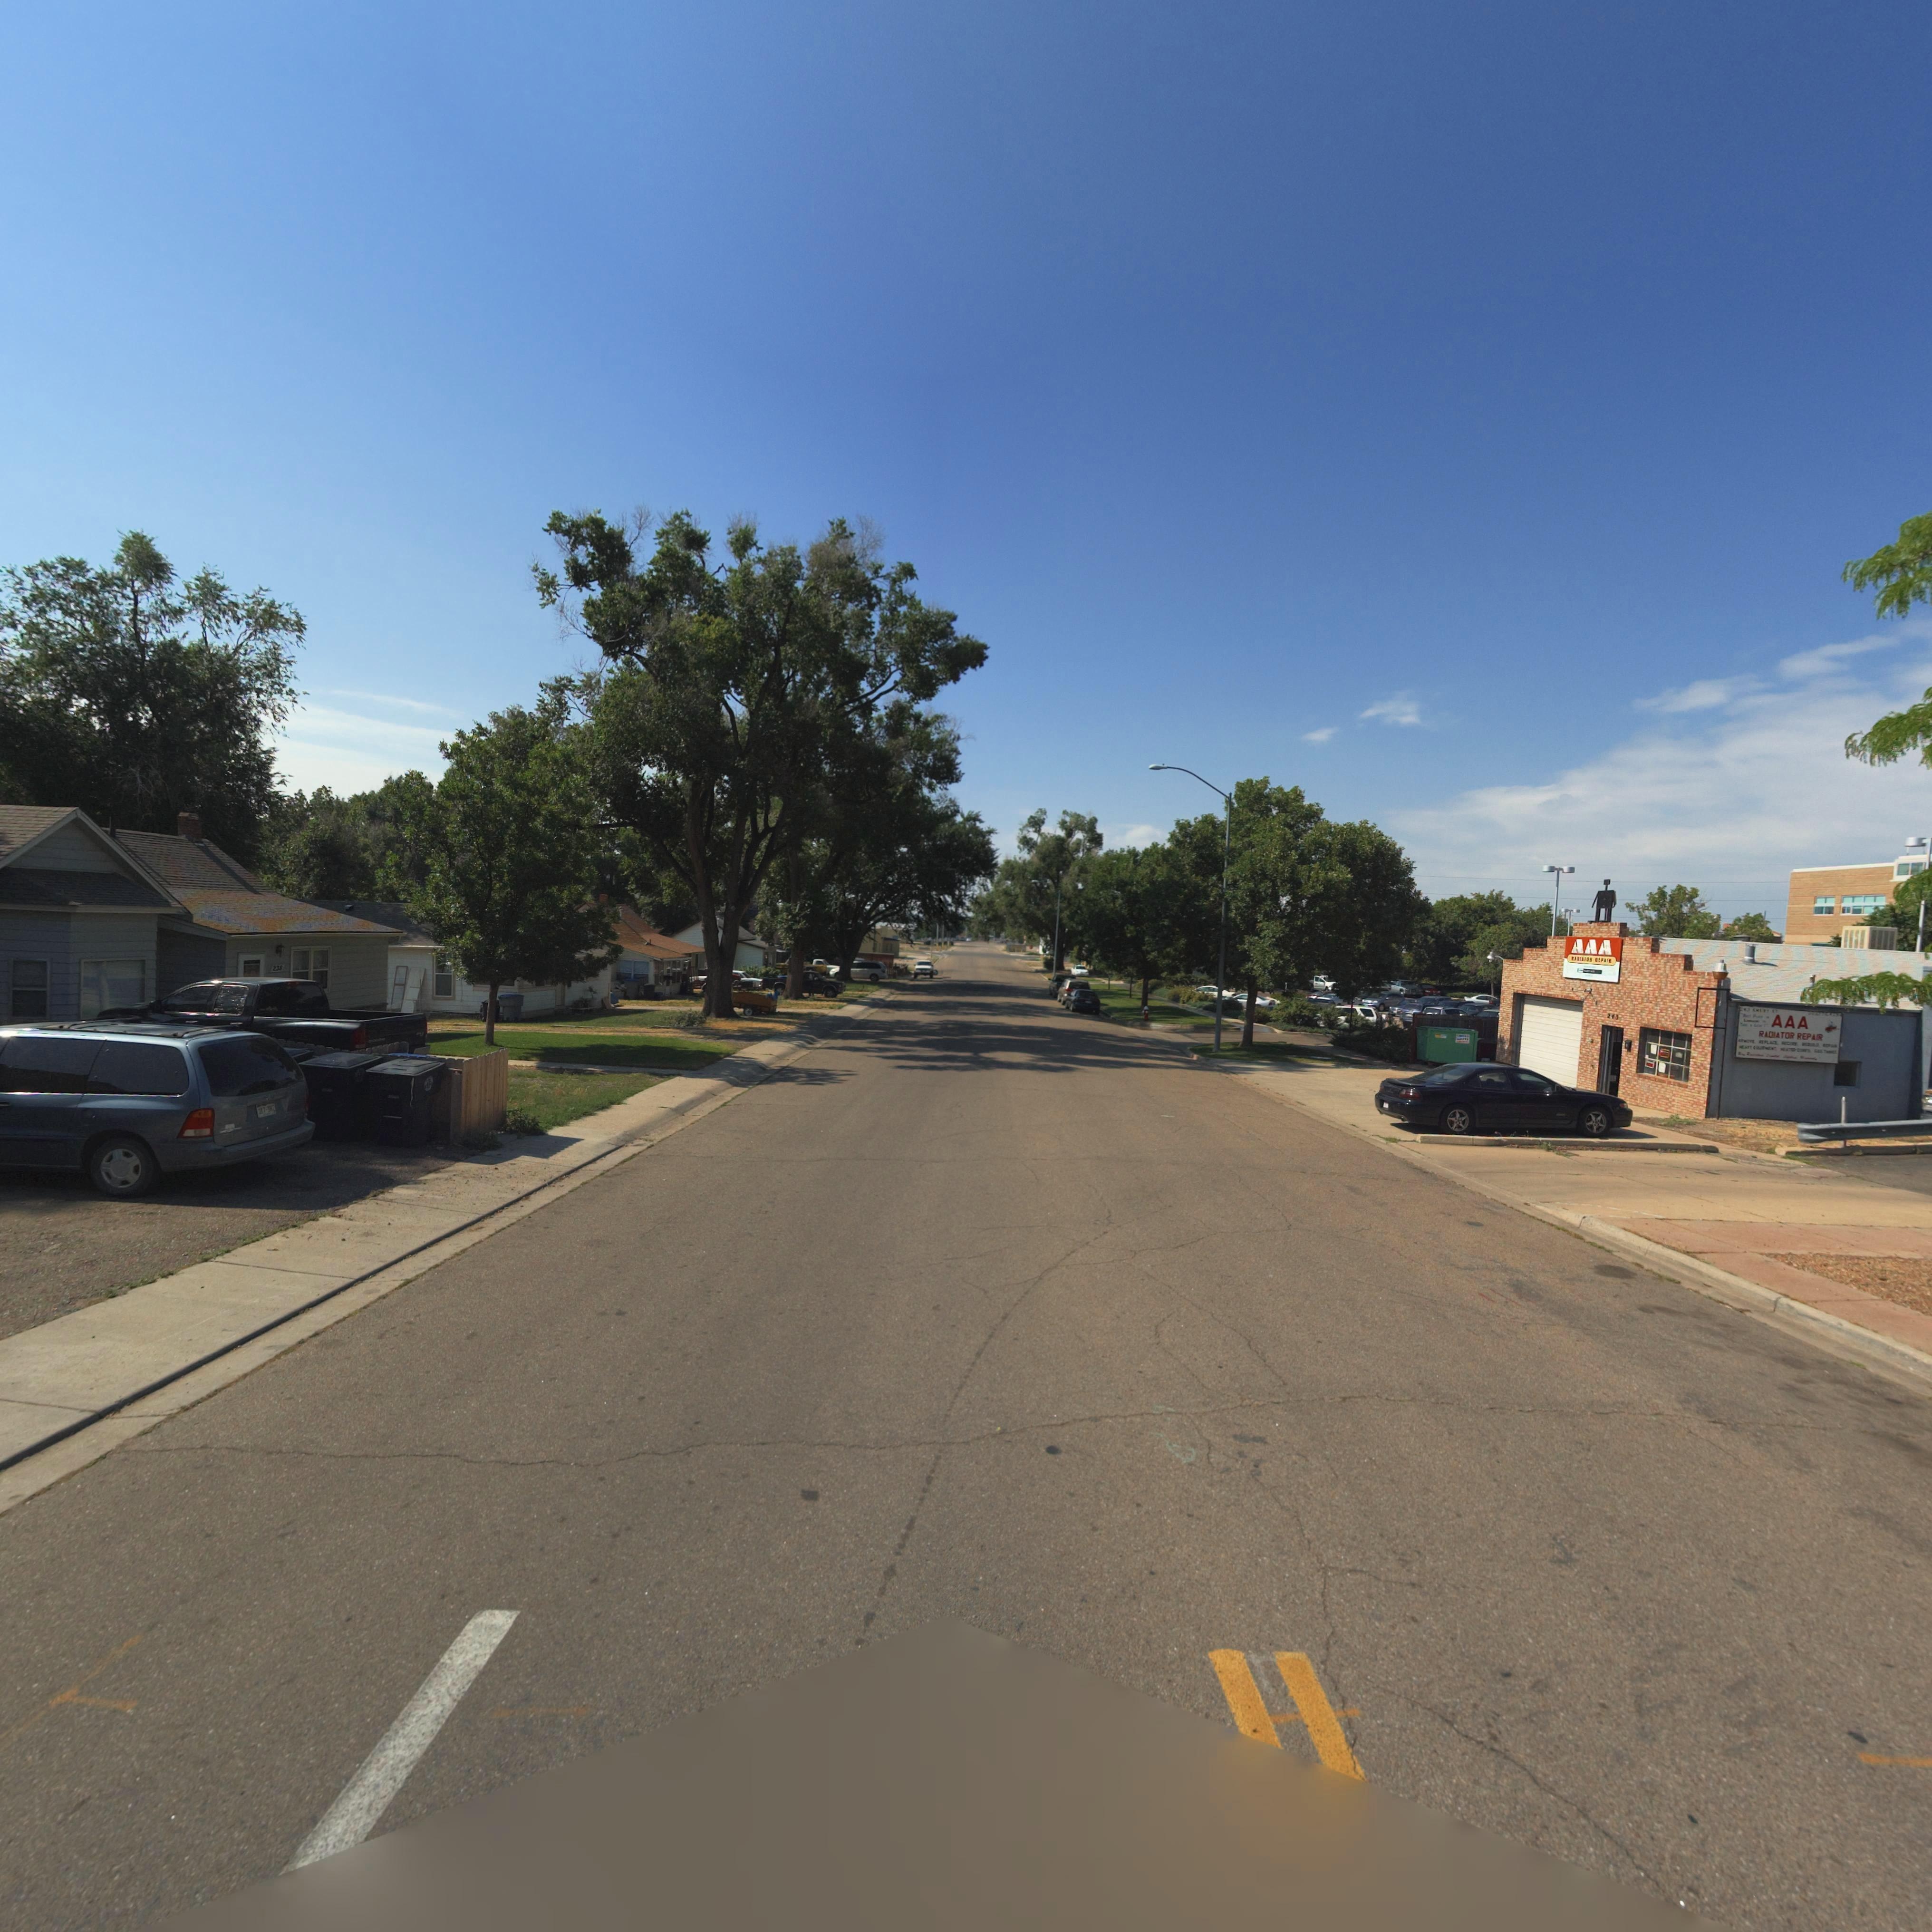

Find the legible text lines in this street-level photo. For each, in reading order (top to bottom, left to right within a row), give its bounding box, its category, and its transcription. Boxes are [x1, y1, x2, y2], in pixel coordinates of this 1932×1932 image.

[1571, 938, 1612, 956] BusinessName: AAA
[1571, 956, 1612, 963] BusinessName: R**I**O* **PAIR
[273, 965, 282, 970] StreetNumber: 238
[1606, 1013, 1619, 1020] StreetNumber: 24*
[1771, 1014, 1808, 1029] BusinessName: AAA
[1758, 1030, 1823, 1041] BusinessName: RADIATOR REPAIR